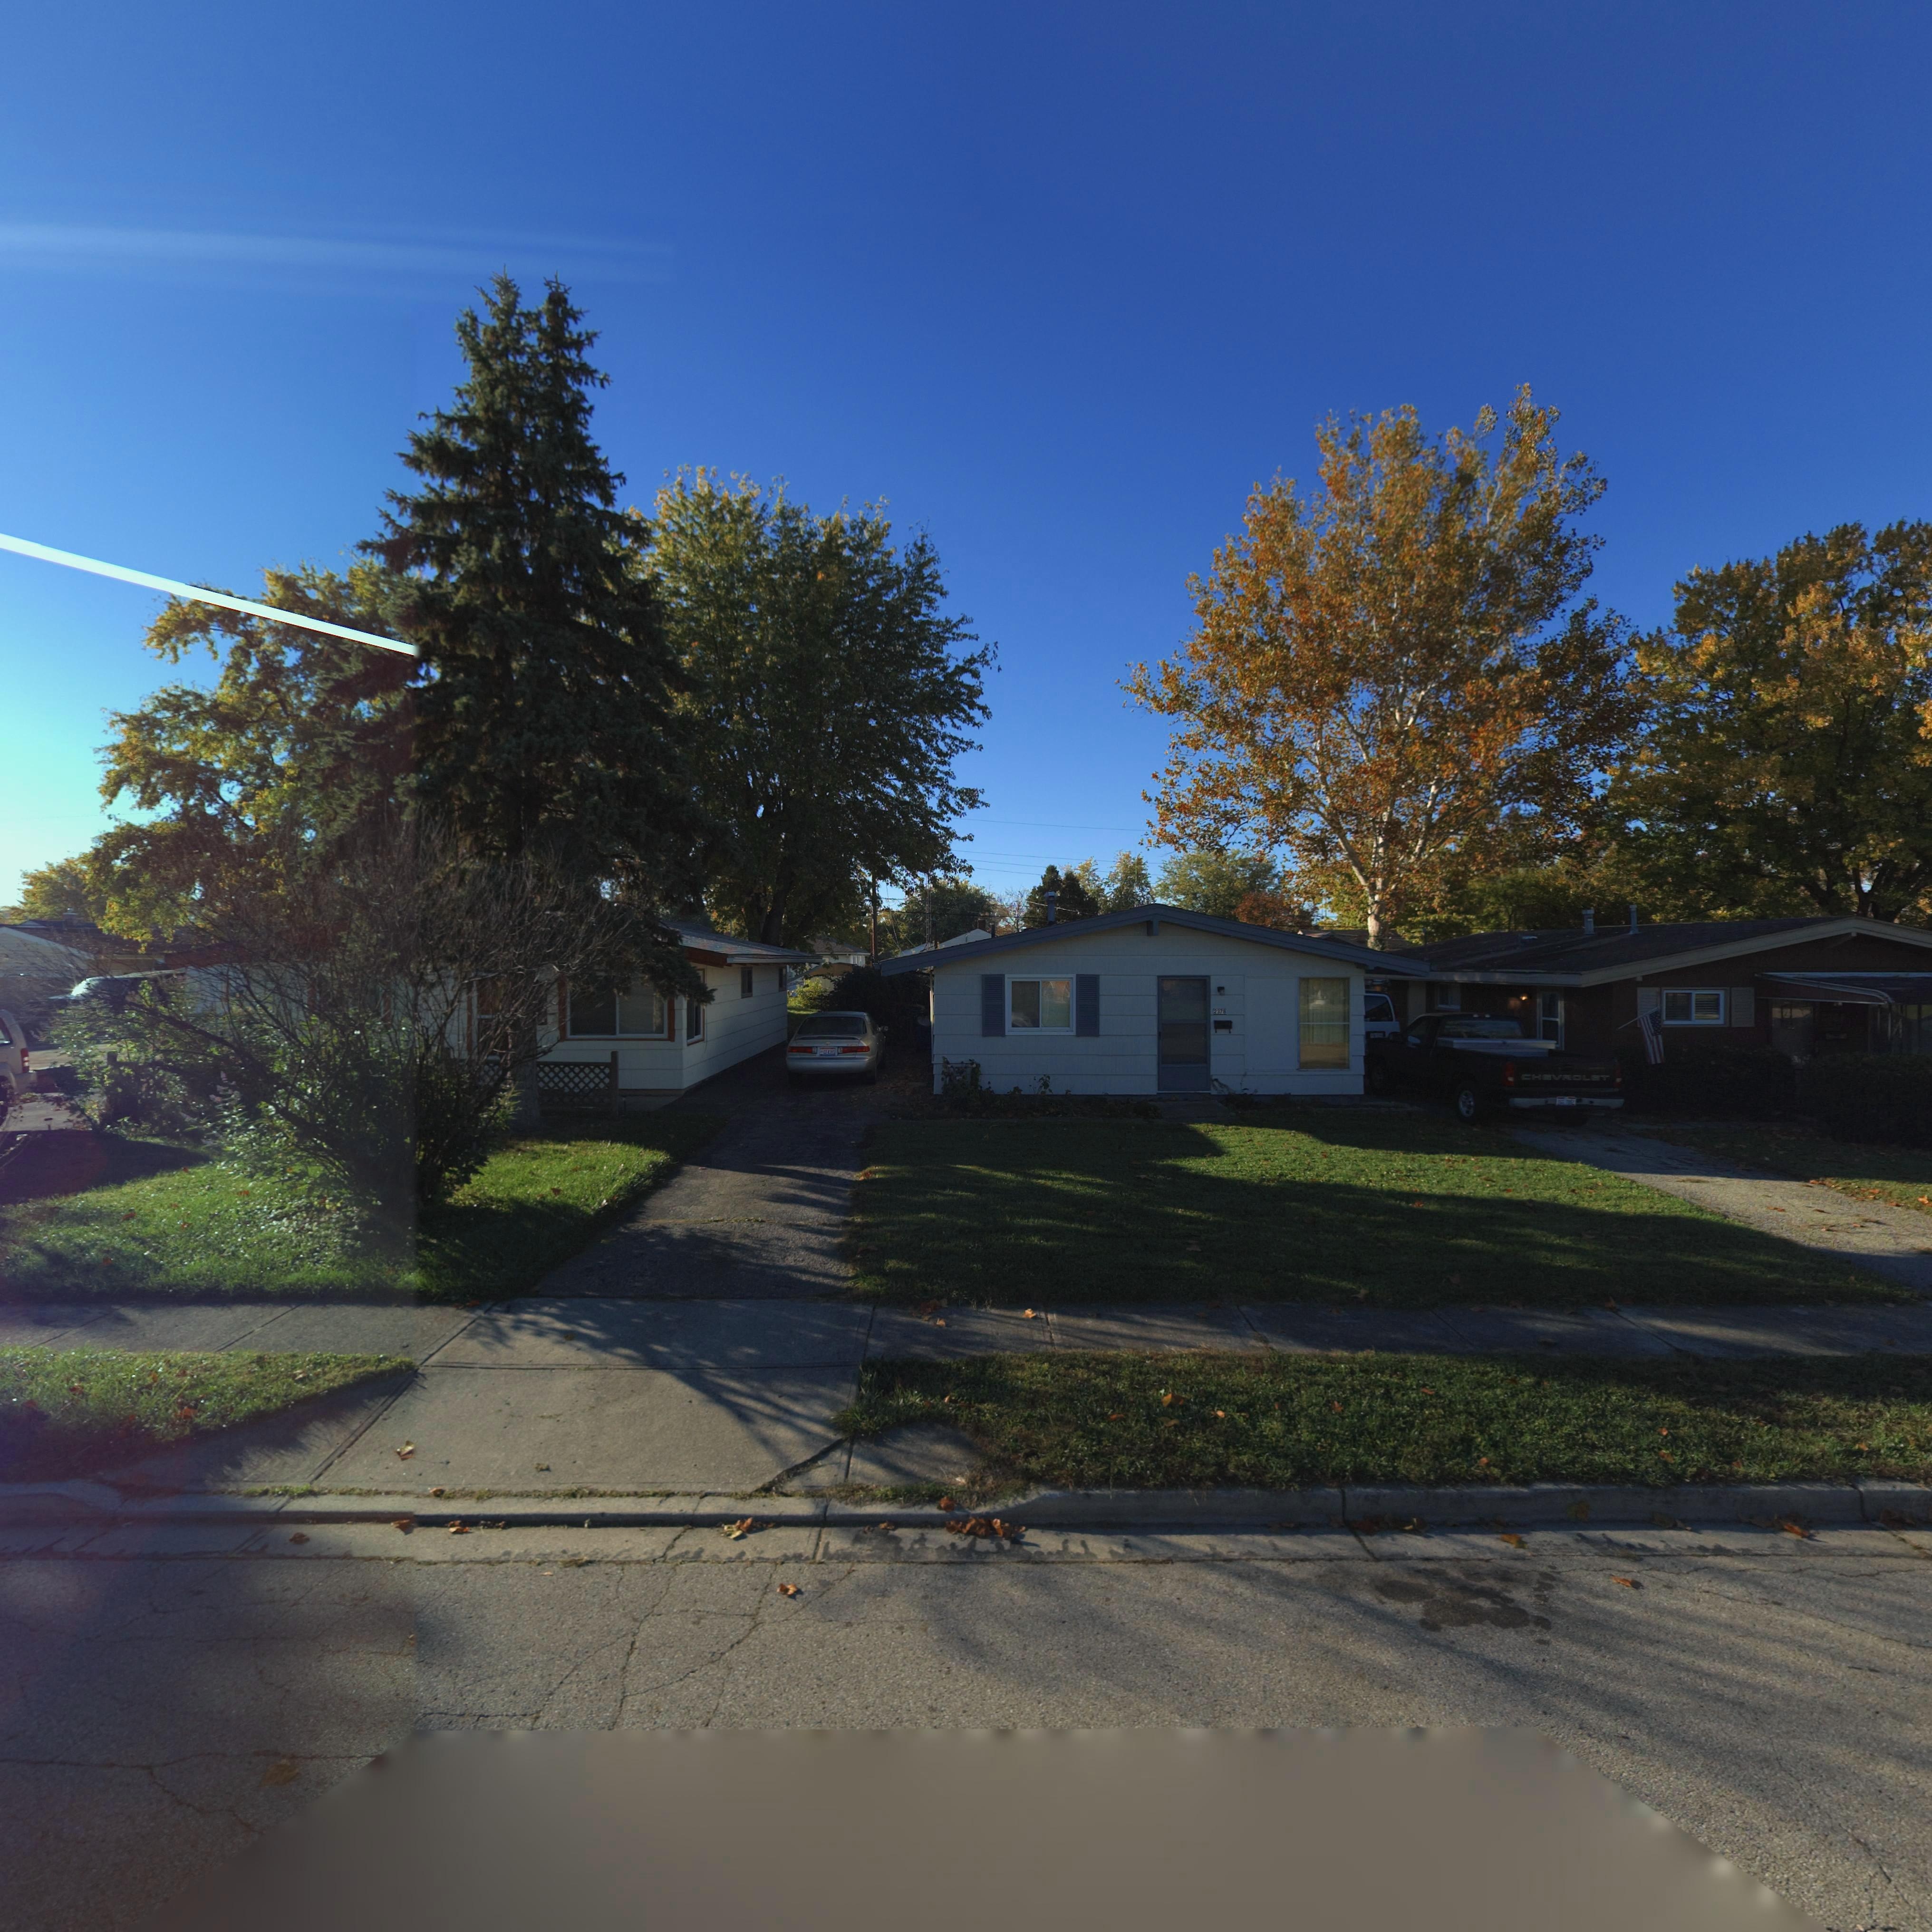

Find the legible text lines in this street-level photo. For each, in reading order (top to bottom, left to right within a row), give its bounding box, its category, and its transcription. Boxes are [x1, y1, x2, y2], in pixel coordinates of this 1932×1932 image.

[1213, 1008, 1227, 1014] StreetNumber: 2378